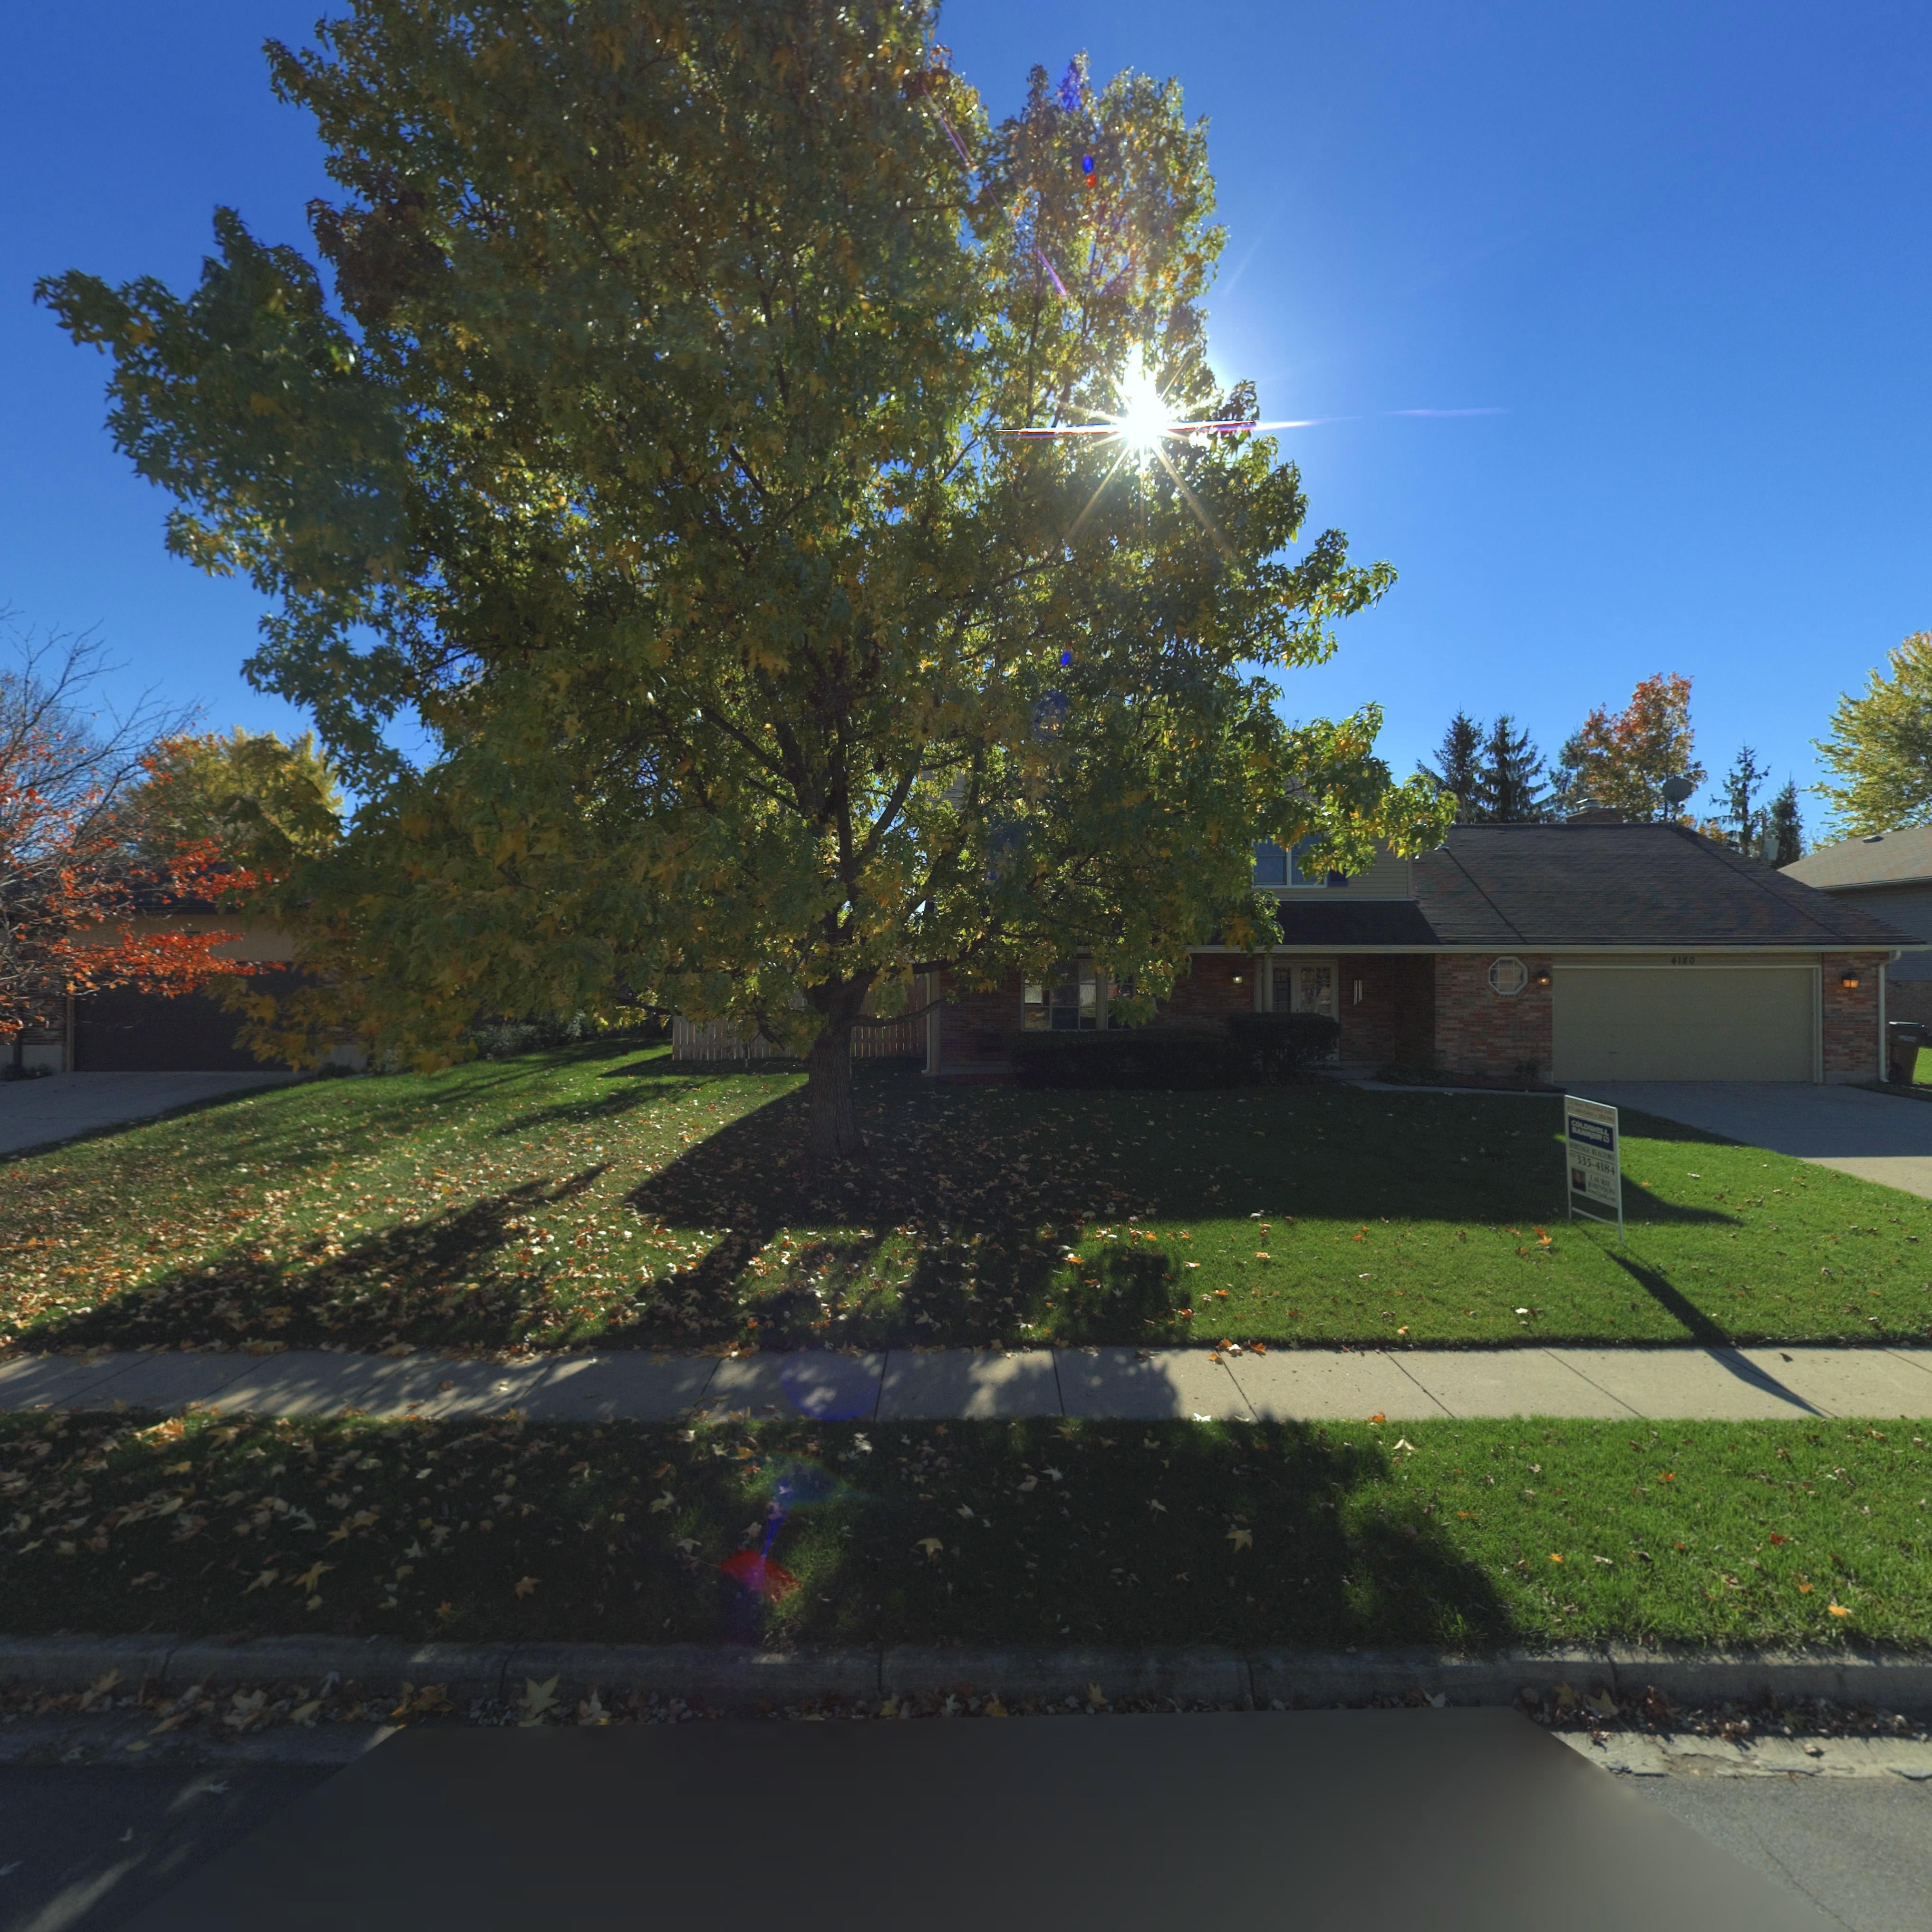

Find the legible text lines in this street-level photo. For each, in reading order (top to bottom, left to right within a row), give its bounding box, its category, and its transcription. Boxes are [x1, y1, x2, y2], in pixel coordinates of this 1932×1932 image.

[1670, 955, 1696, 966] StreetNumber: 4180
[1571, 1125, 1603, 1142] None: BANKeR
[1571, 1119, 1610, 1137] None: COLDWeLL
[1575, 1153, 1616, 1177] None: 335-4184
[1589, 1173, 1612, 1189] None: LAURIE
[1586, 1180, 1615, 1196] None: JOHNSON